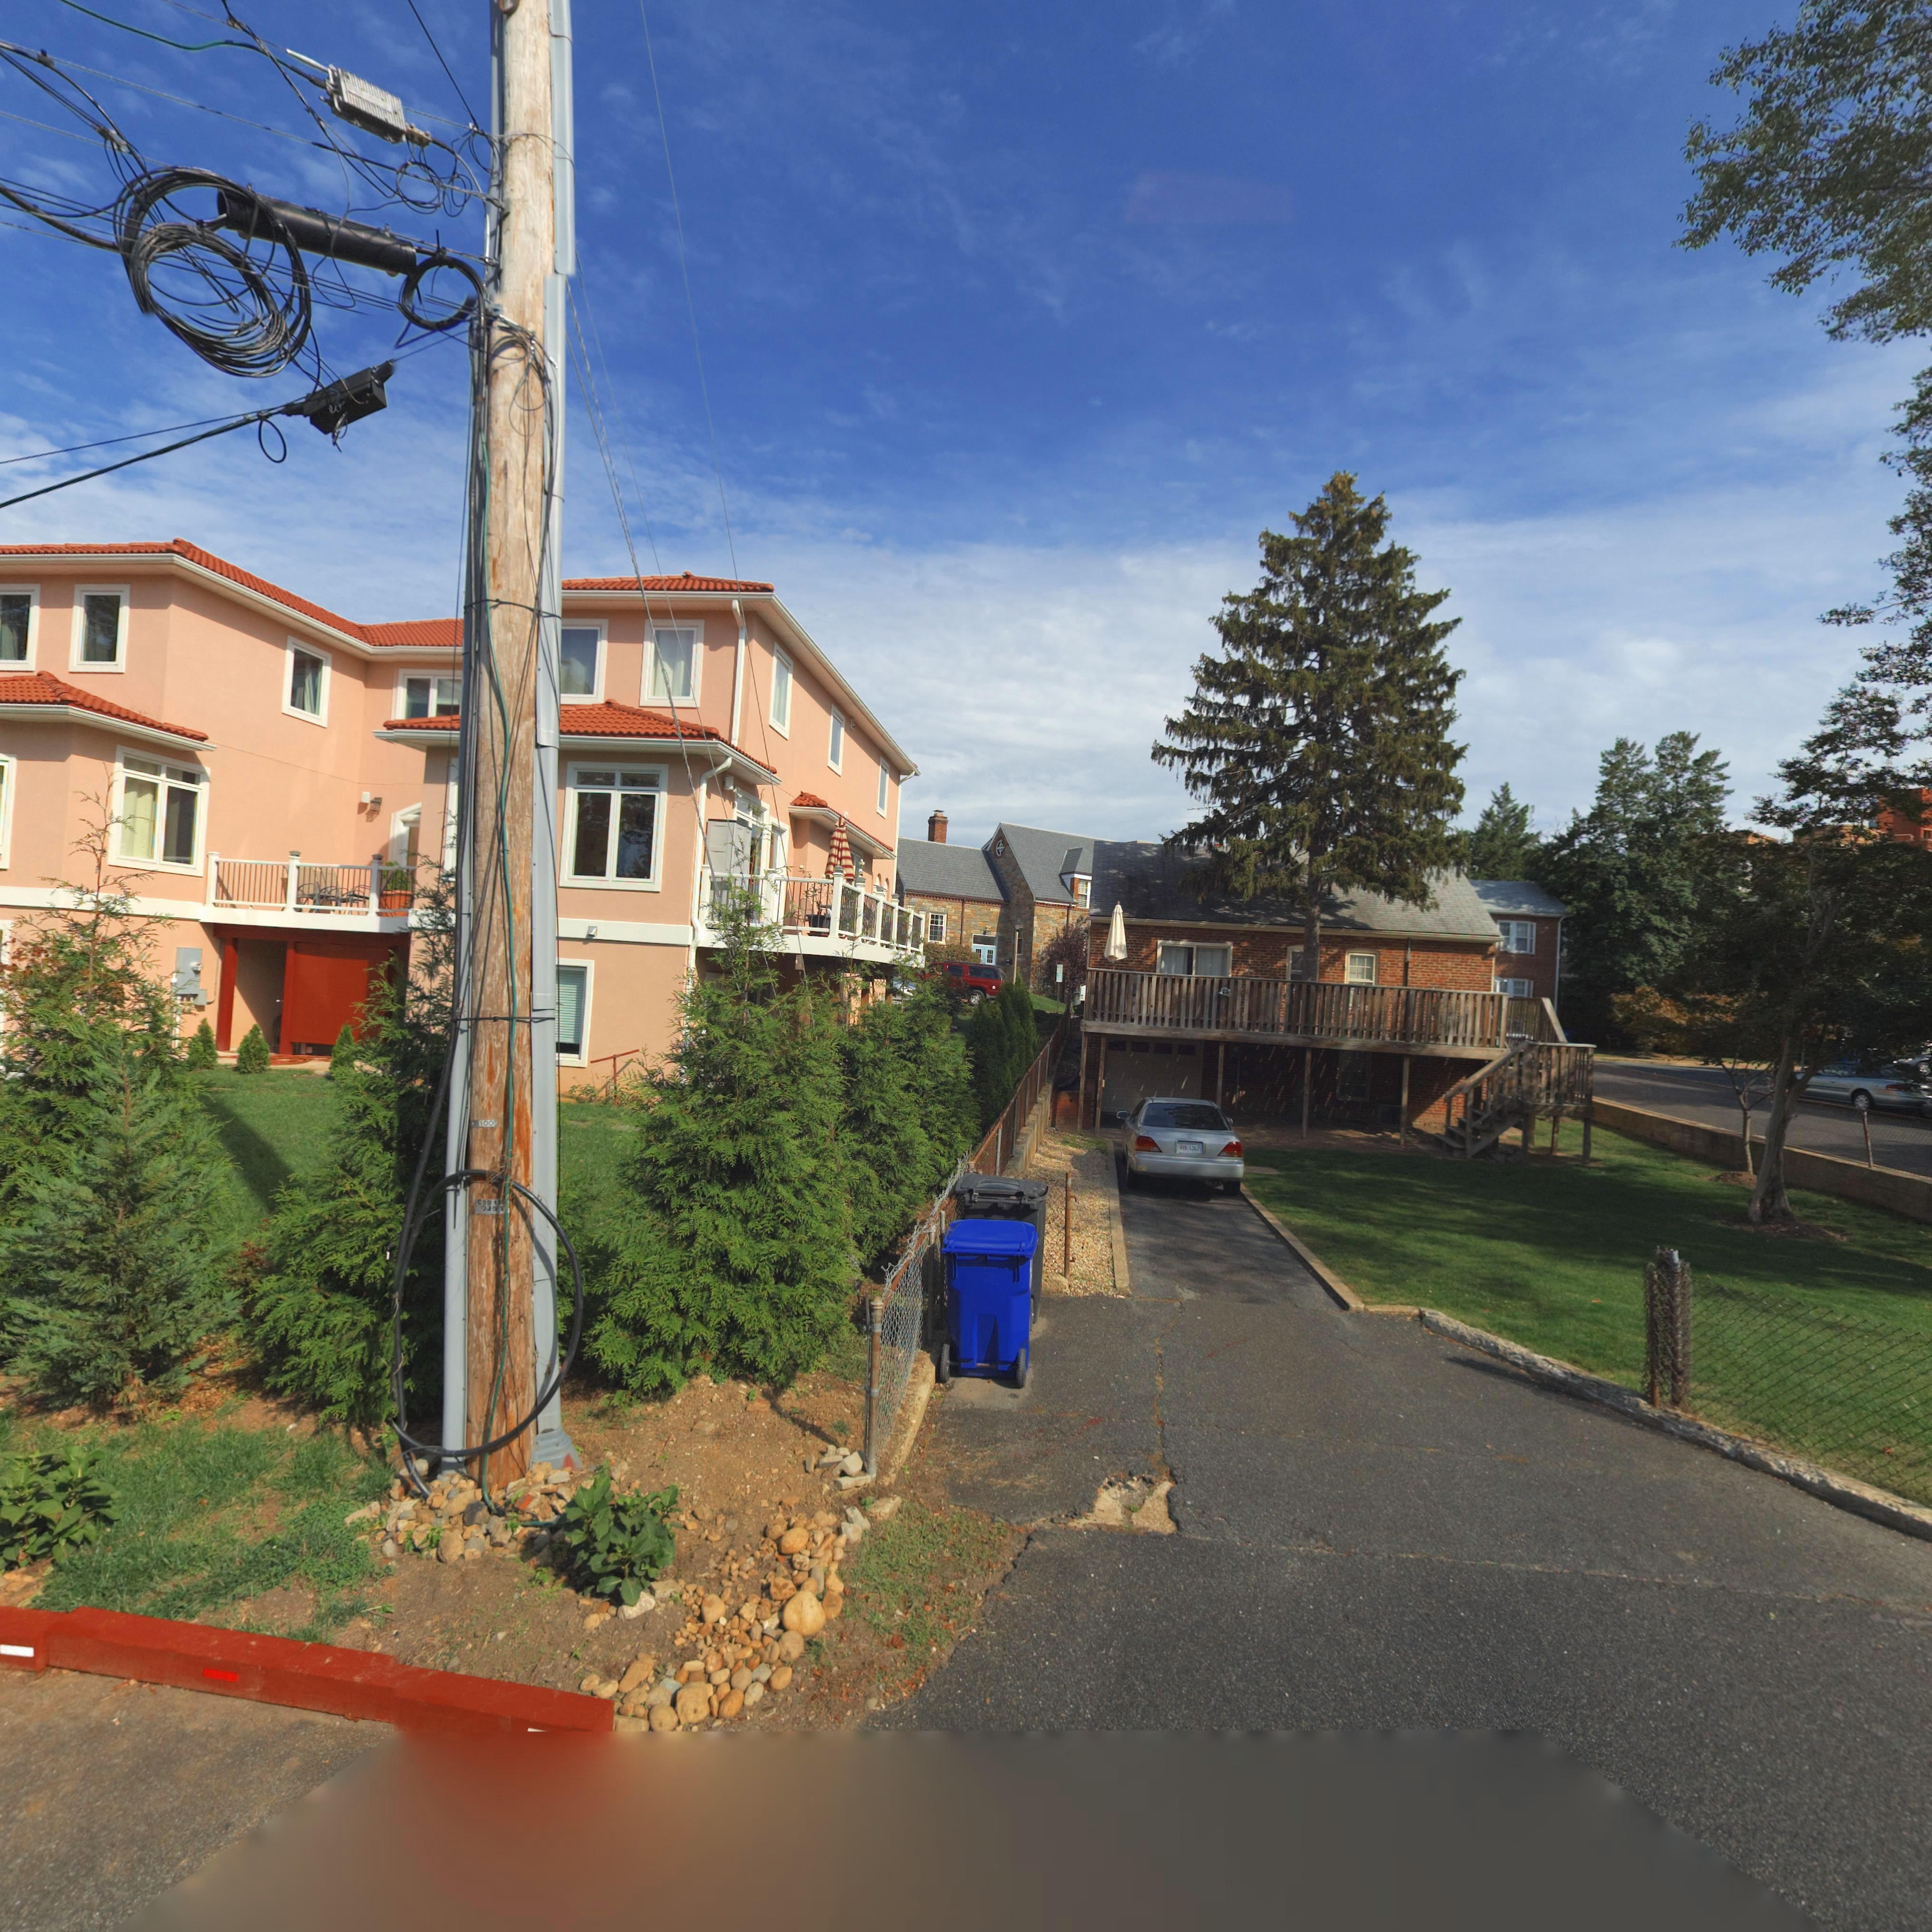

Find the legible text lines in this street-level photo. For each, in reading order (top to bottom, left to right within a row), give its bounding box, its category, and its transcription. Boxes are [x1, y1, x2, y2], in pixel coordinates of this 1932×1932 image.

[479, 1119, 495, 1128] None: 100
[493, 1199, 498, 1206] None: 1
[486, 1205, 492, 1212] None: J